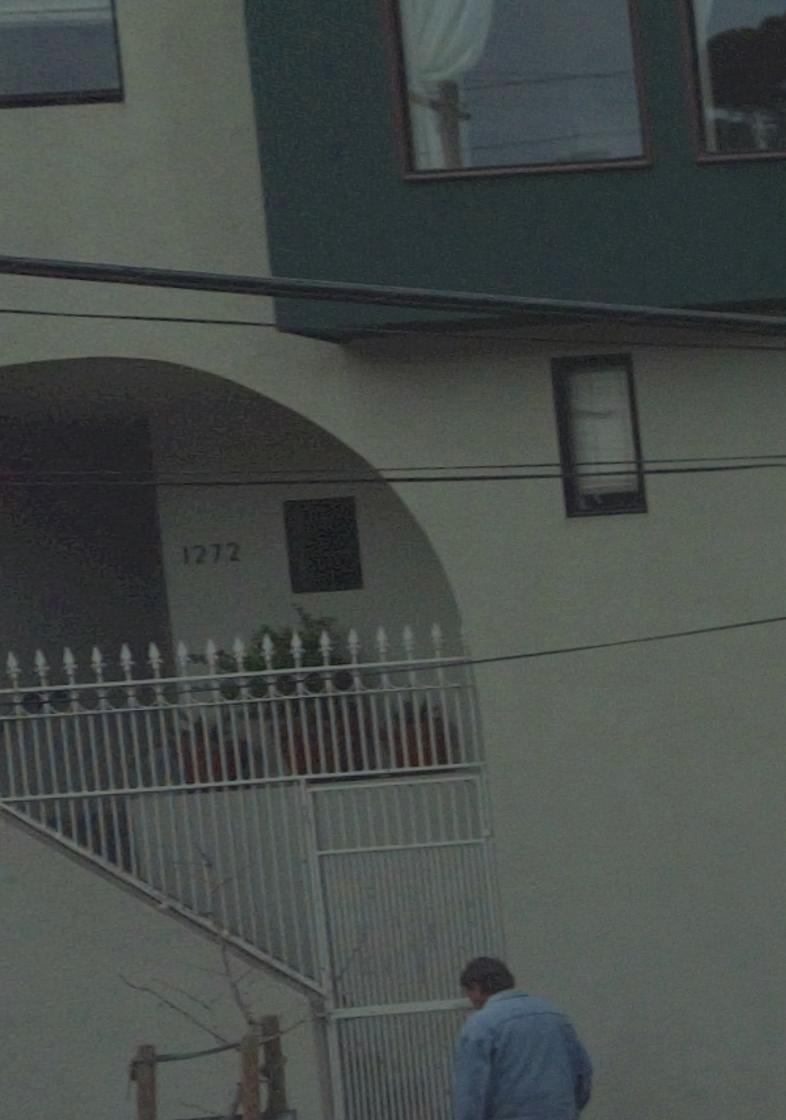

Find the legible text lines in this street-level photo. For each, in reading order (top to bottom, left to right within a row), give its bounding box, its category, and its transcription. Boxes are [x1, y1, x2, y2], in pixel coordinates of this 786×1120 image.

[180, 541, 243, 568] StreetNumber: 1272